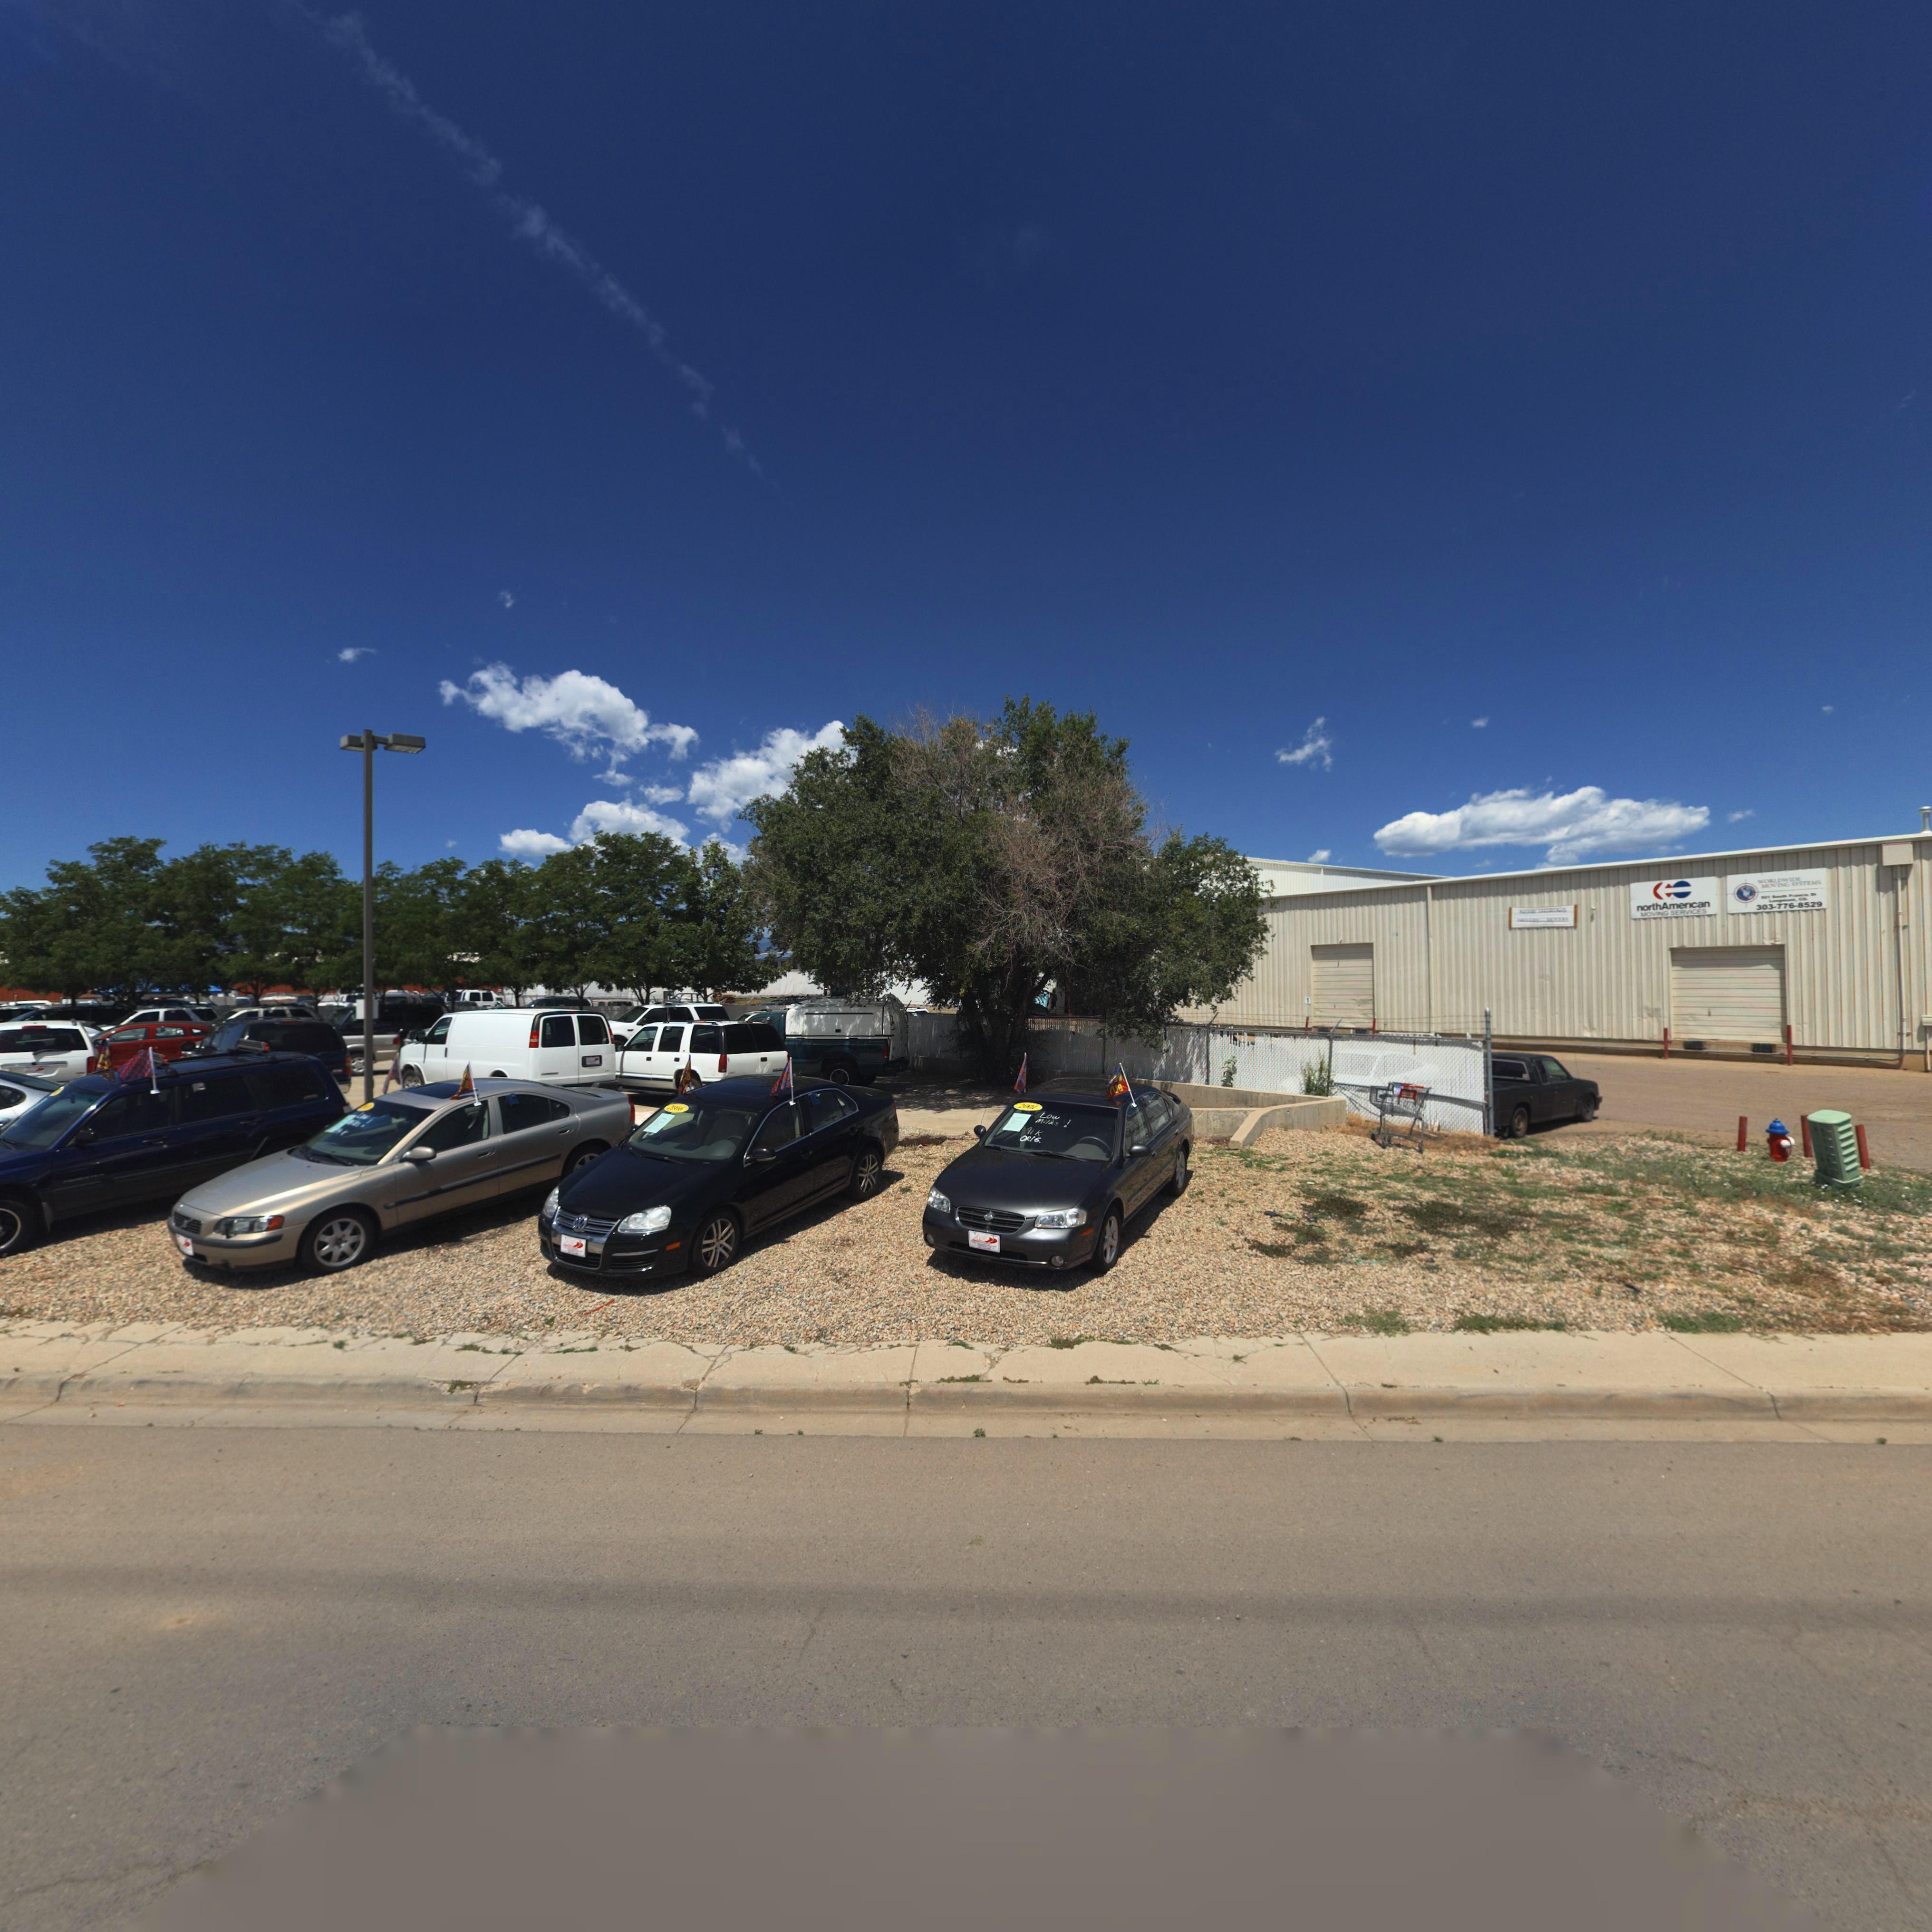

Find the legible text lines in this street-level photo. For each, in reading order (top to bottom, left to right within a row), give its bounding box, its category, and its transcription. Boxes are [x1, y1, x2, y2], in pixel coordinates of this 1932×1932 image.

[1757, 876, 1802, 884] BusinessName: WO*LD*IDE
[1760, 879, 1822, 889] BusinessName: *OVING SY*TEMS
[1636, 901, 1710, 911] BusinessName: NorthAmerican
[1640, 908, 1707, 917] BusinessName: MOVING SERVICES